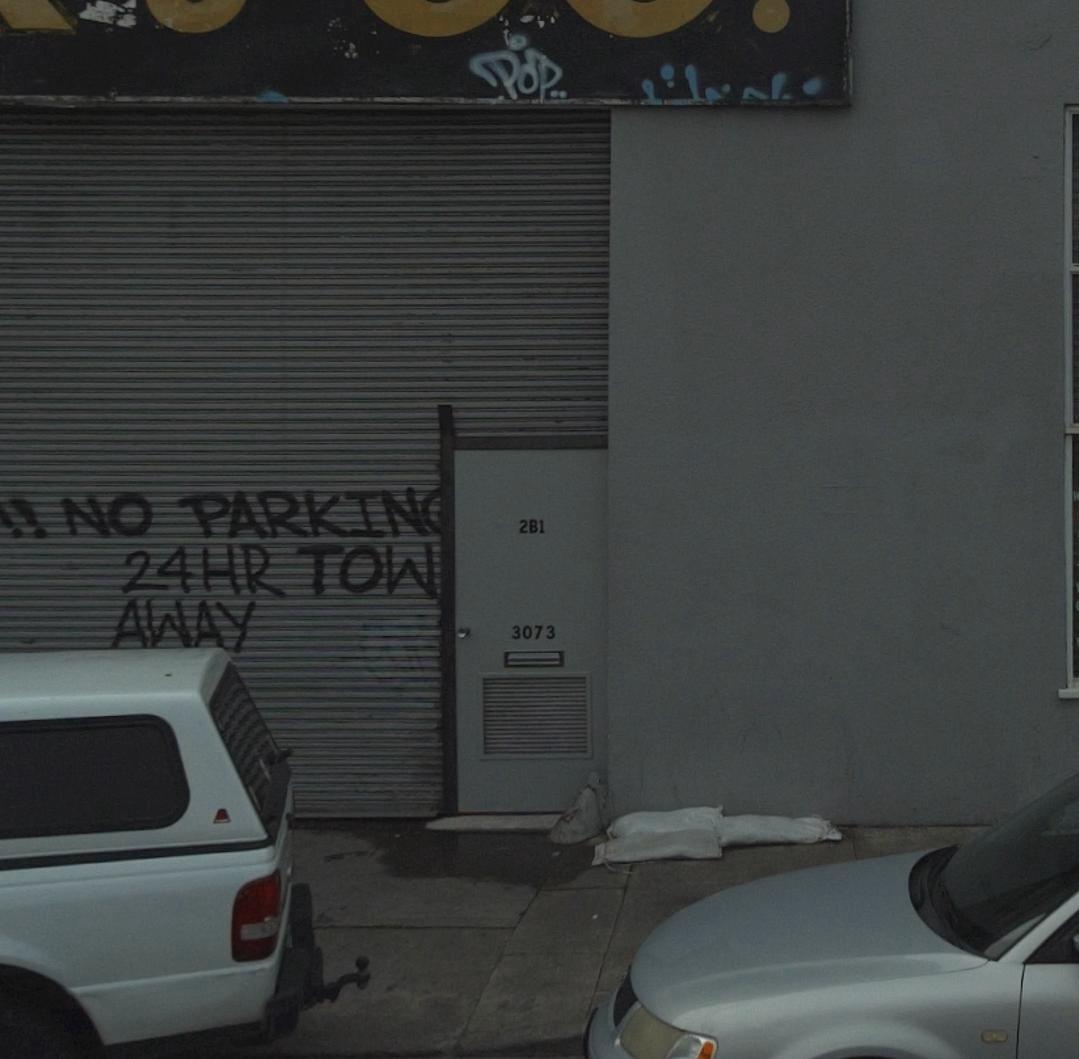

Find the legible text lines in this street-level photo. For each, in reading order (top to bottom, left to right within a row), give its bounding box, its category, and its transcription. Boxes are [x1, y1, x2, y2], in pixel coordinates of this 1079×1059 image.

[55, 485, 430, 540] None: NO PARKIN
[518, 517, 547, 535] StreetNumber: 2B1
[117, 539, 441, 601] None: 24HR TOW
[106, 598, 258, 655] None: AWAY
[510, 623, 557, 642] StreetNumber: 3073